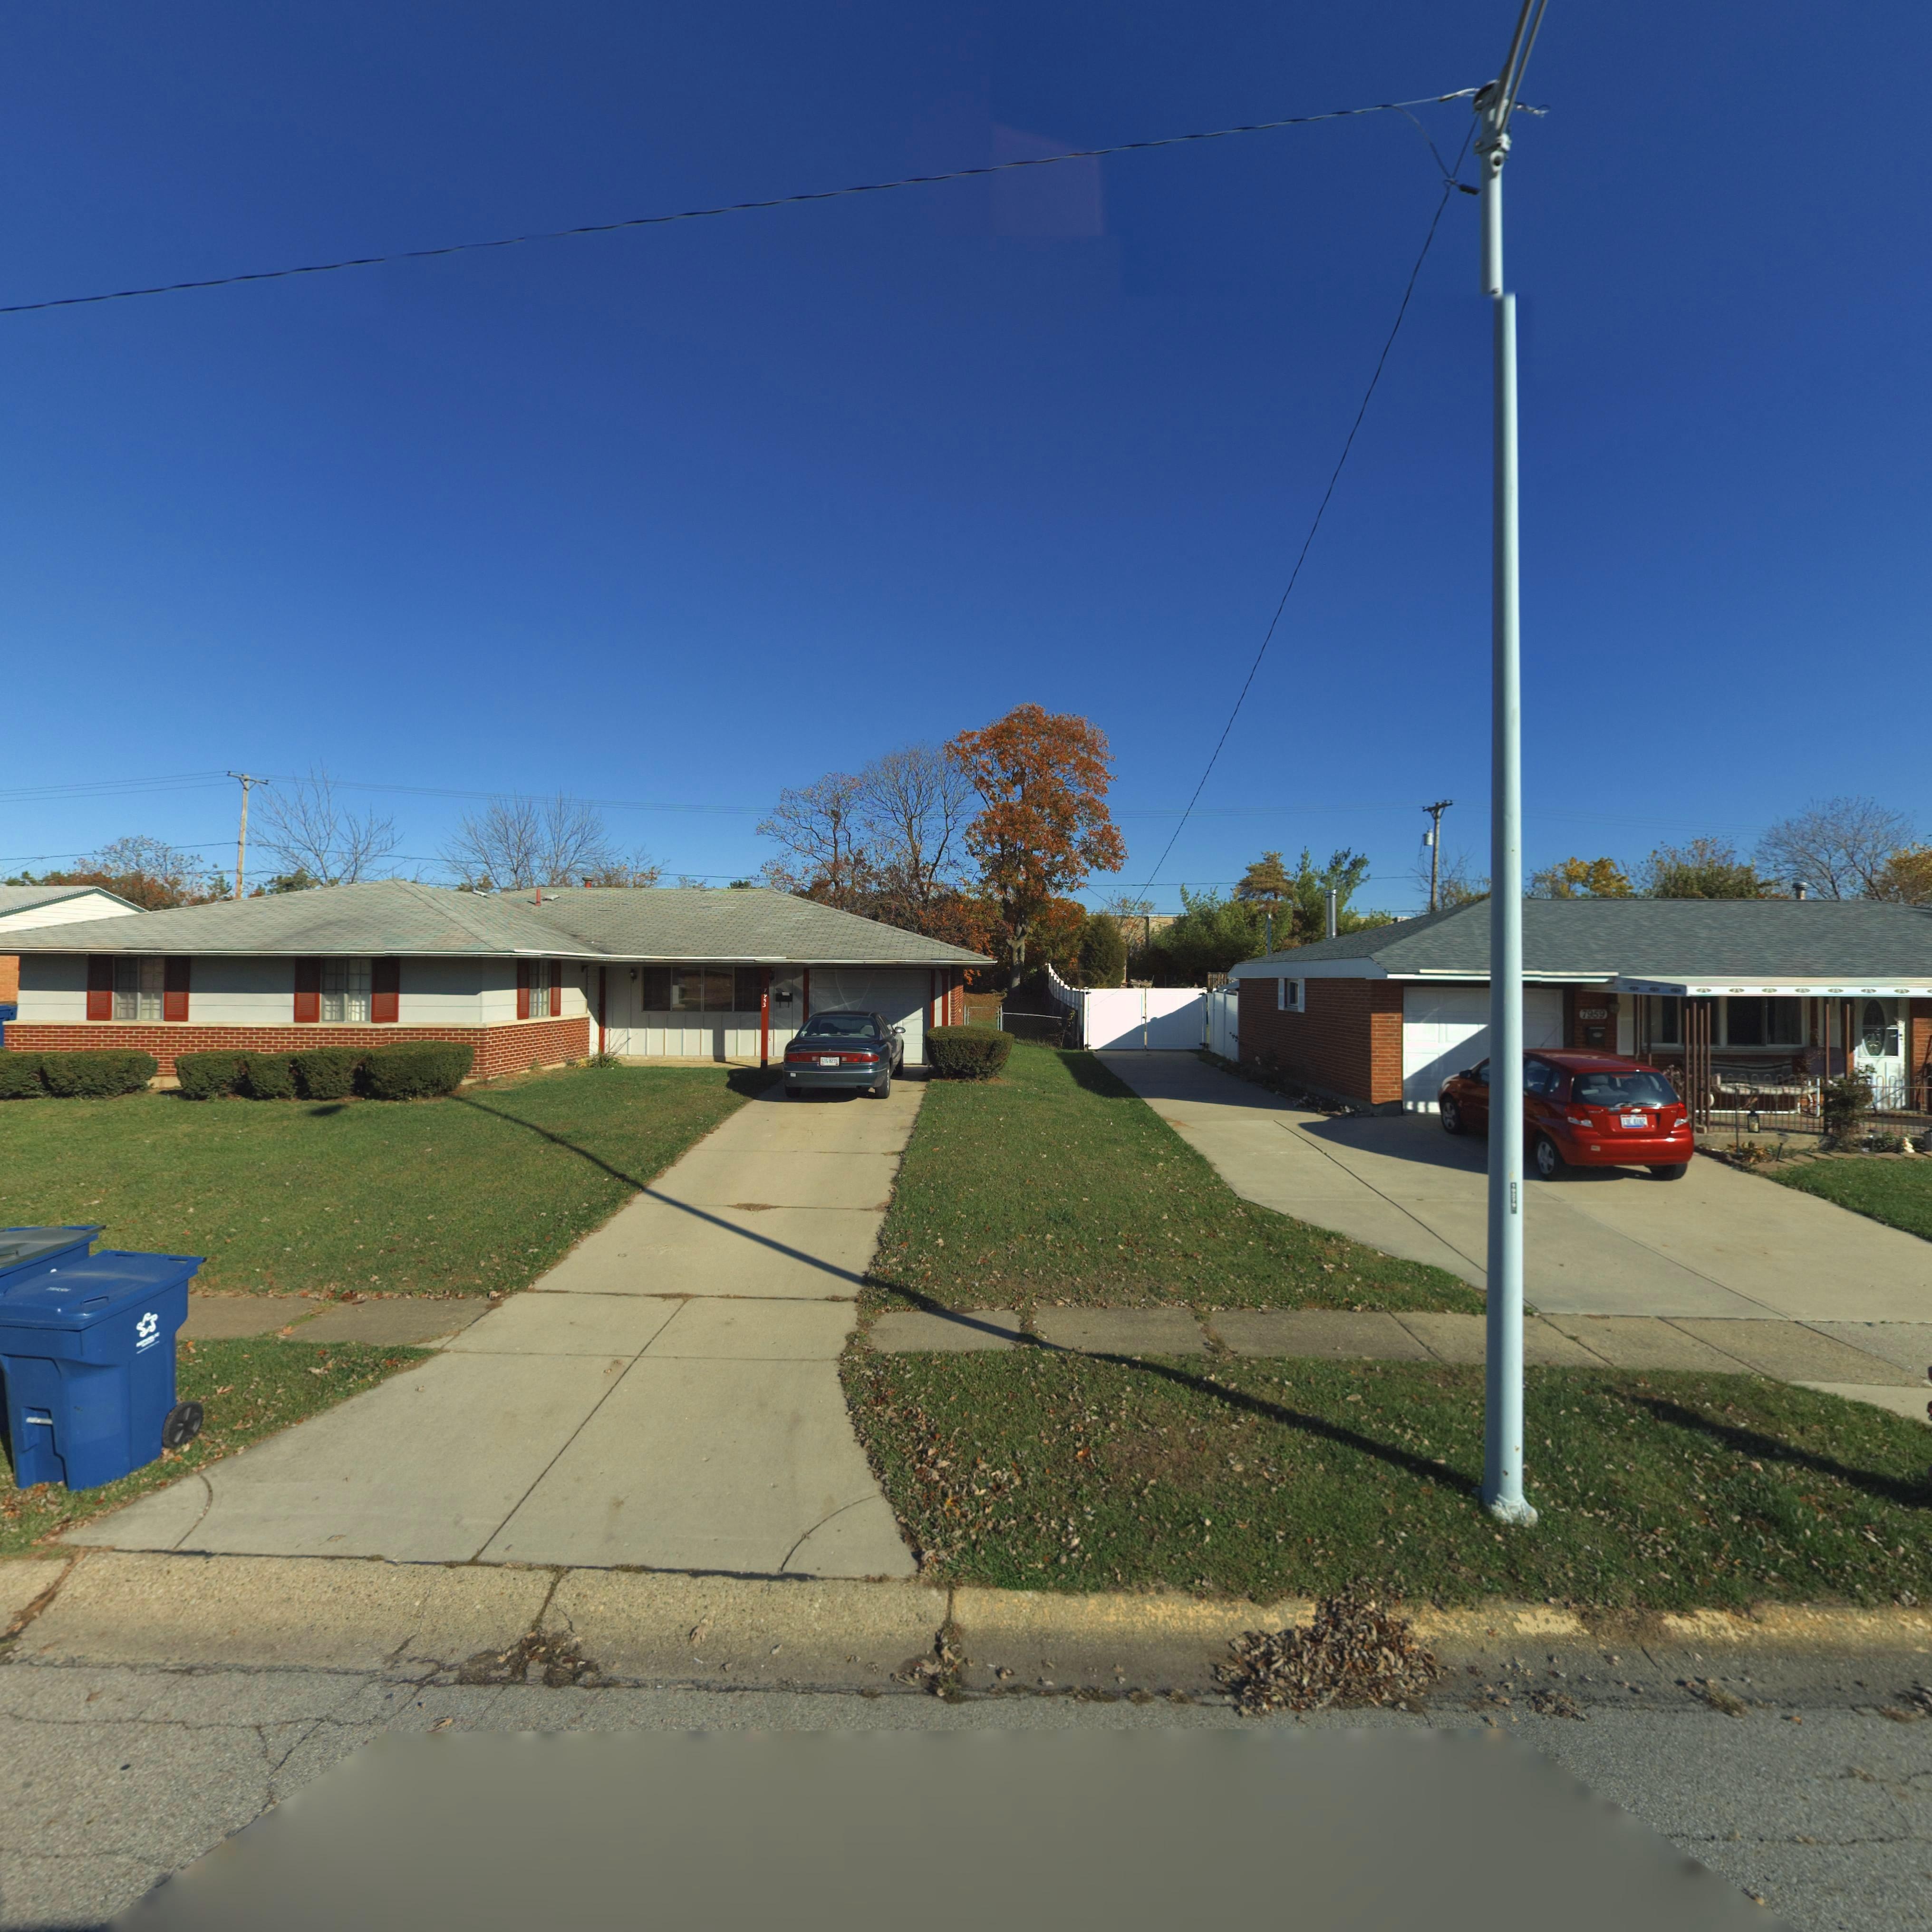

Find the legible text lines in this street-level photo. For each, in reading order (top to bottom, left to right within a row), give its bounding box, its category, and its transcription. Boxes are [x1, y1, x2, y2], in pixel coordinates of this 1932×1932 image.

[761, 987, 769, 1009] StreetNumber: 79**
[1581, 1008, 1606, 1020] StreetNumber: 7959